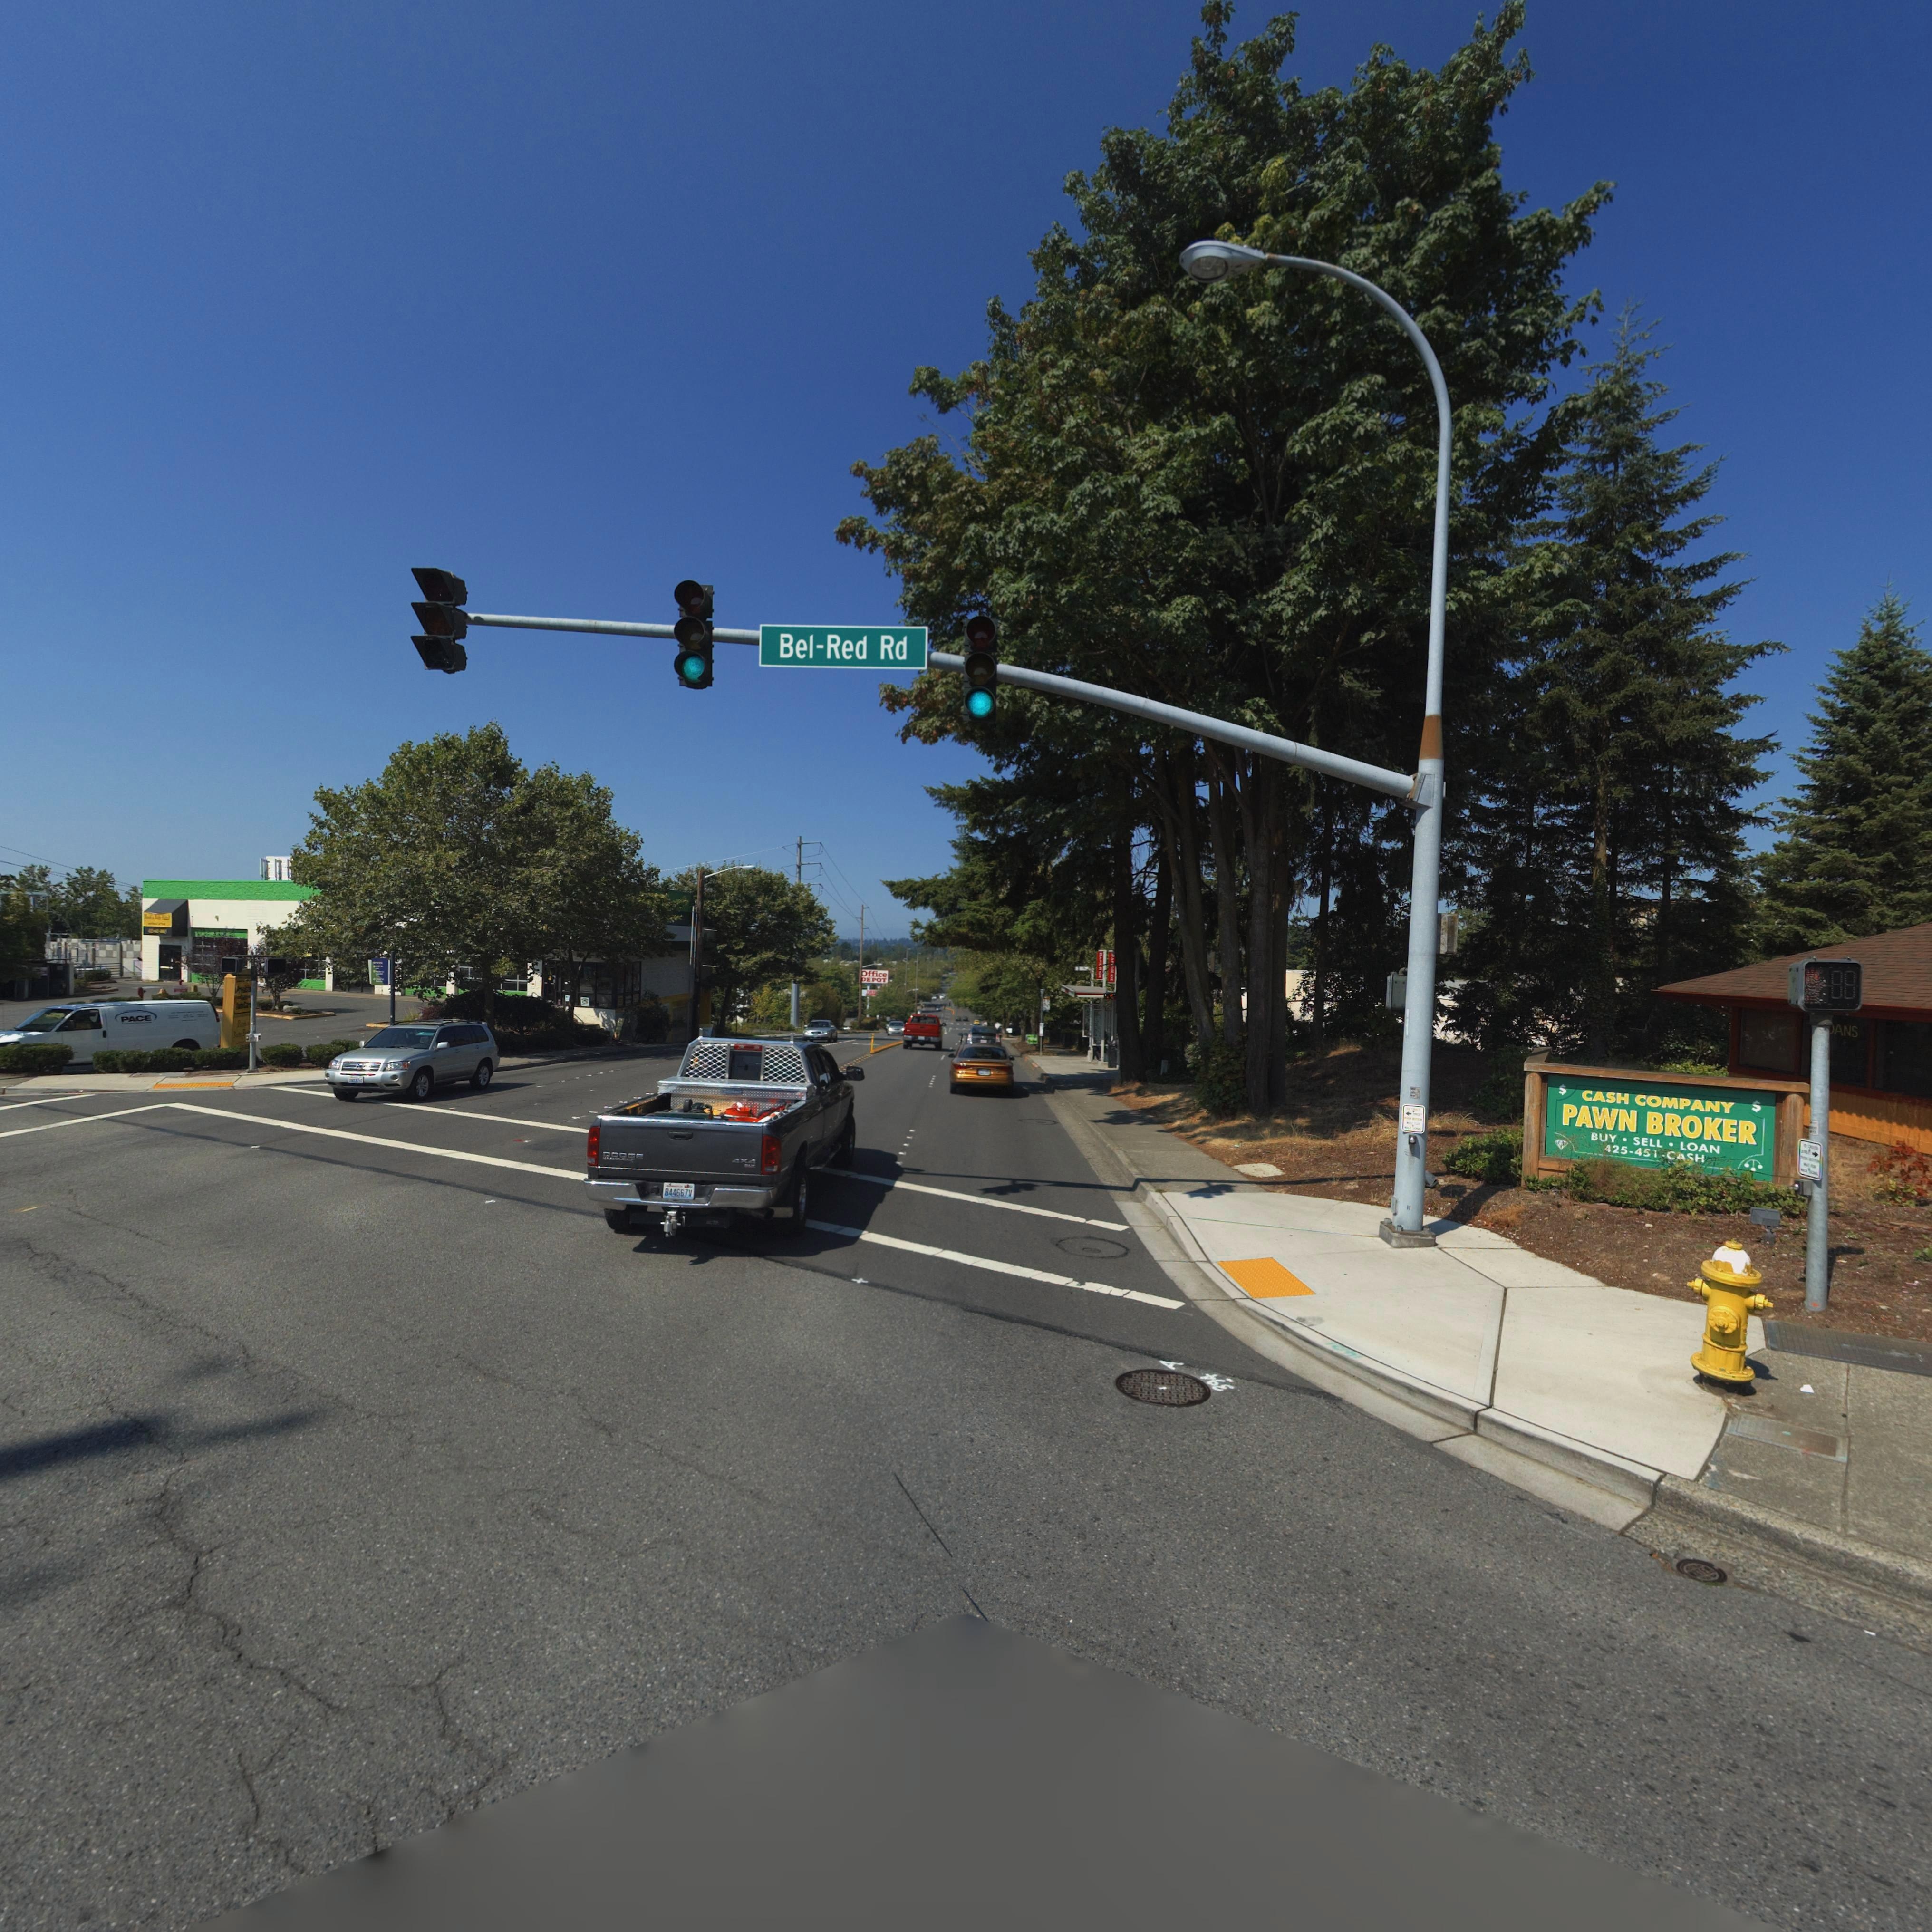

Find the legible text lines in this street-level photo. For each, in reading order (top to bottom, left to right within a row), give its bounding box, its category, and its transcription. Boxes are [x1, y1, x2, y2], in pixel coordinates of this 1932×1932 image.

[778, 631, 908, 661] StreetName: Bel-Red Rd
[861, 970, 887, 977] BusinessName: Office
[861, 977, 887, 983] BusinessName: DEPOT
[1580, 1090, 1737, 1115] BusinessName: CASH COMPANY
[1563, 1104, 1757, 1144] BusinessName: PAWN BROKER